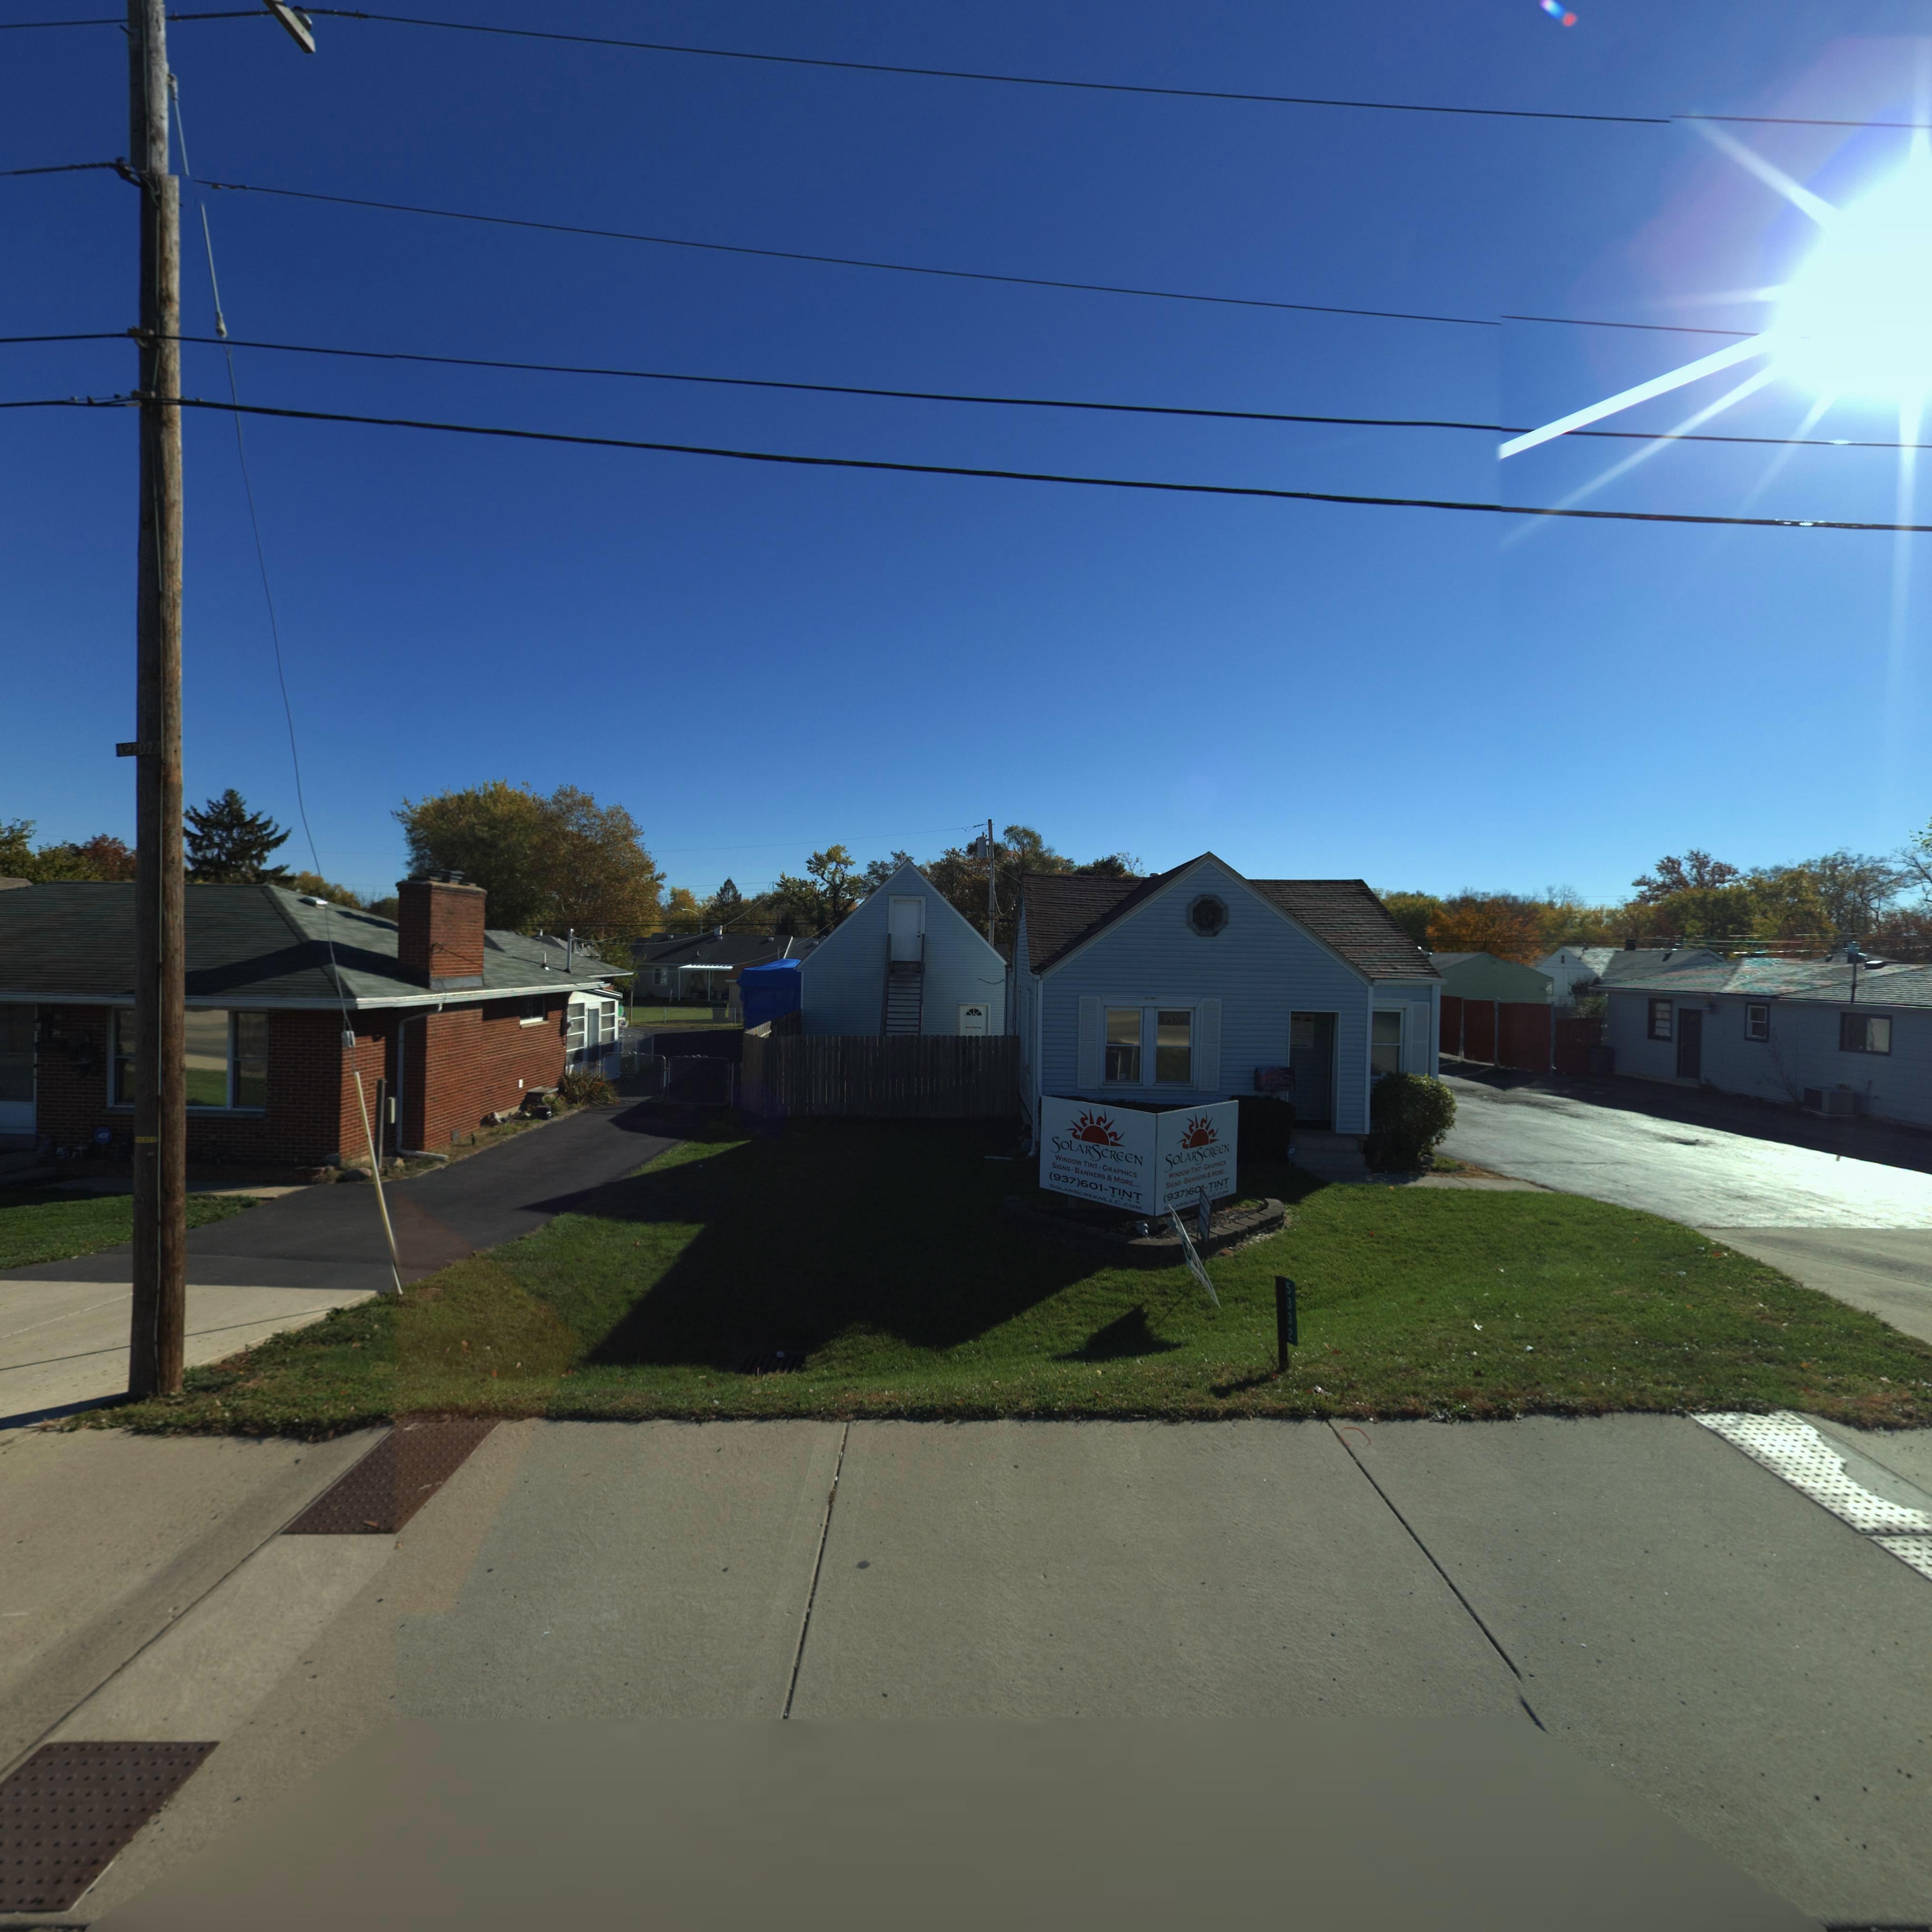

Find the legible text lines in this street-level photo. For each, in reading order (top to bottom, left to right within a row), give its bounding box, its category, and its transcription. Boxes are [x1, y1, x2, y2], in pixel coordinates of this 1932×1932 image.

[1285, 1280, 1294, 1342] StreetNumber: 5332